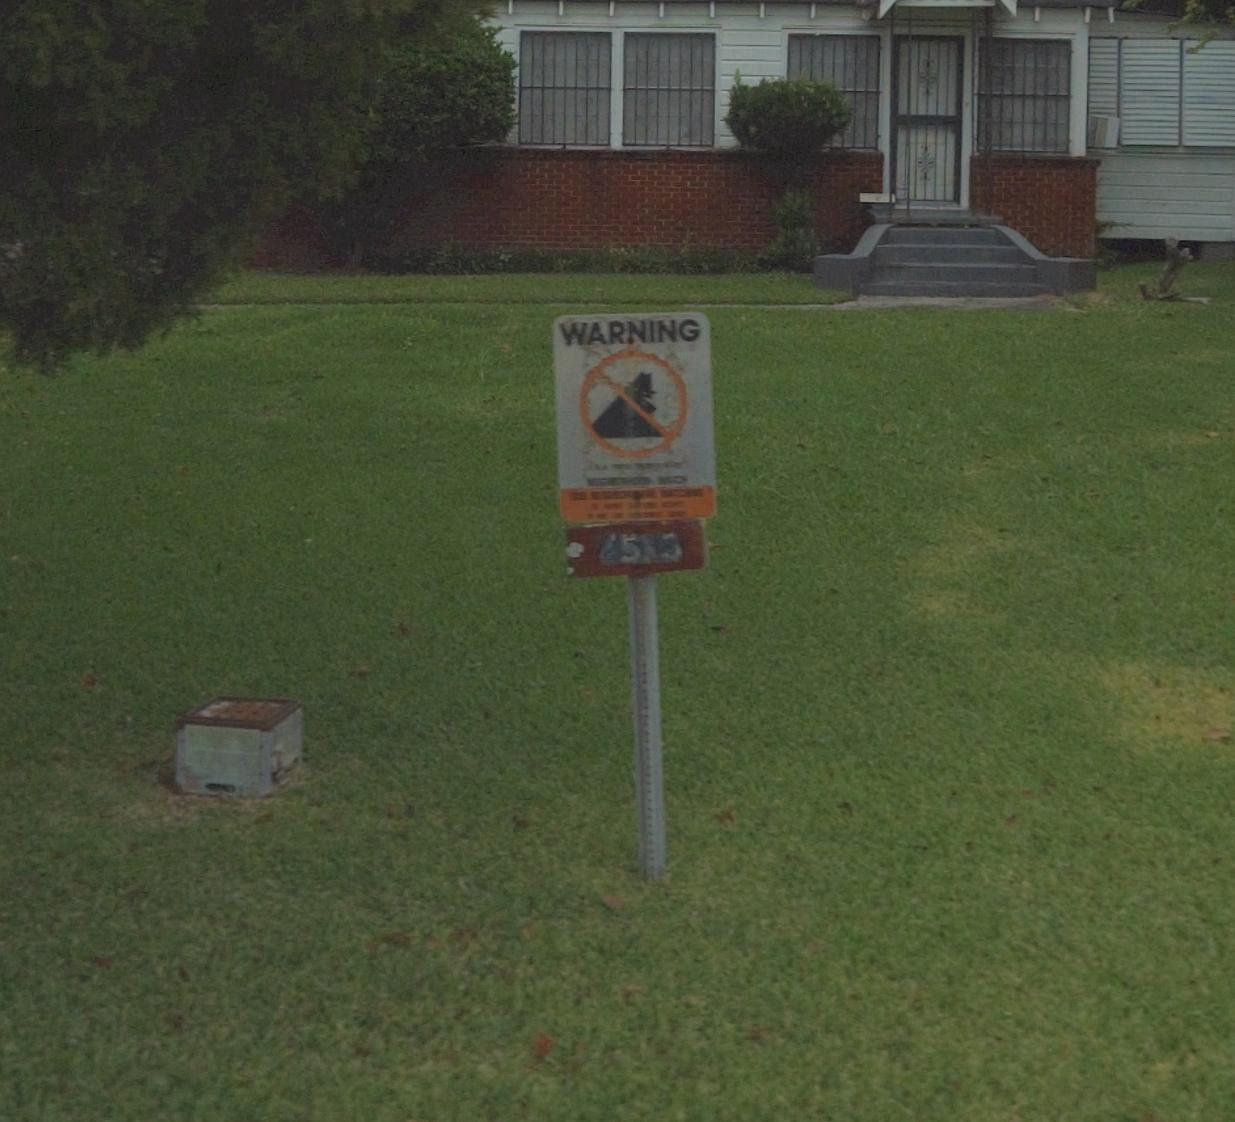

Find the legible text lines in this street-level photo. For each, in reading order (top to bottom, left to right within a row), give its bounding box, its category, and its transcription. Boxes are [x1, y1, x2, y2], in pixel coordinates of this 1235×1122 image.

[557, 316, 702, 348] None: WARNING
[593, 531, 683, 567] StreetNumber: 4513